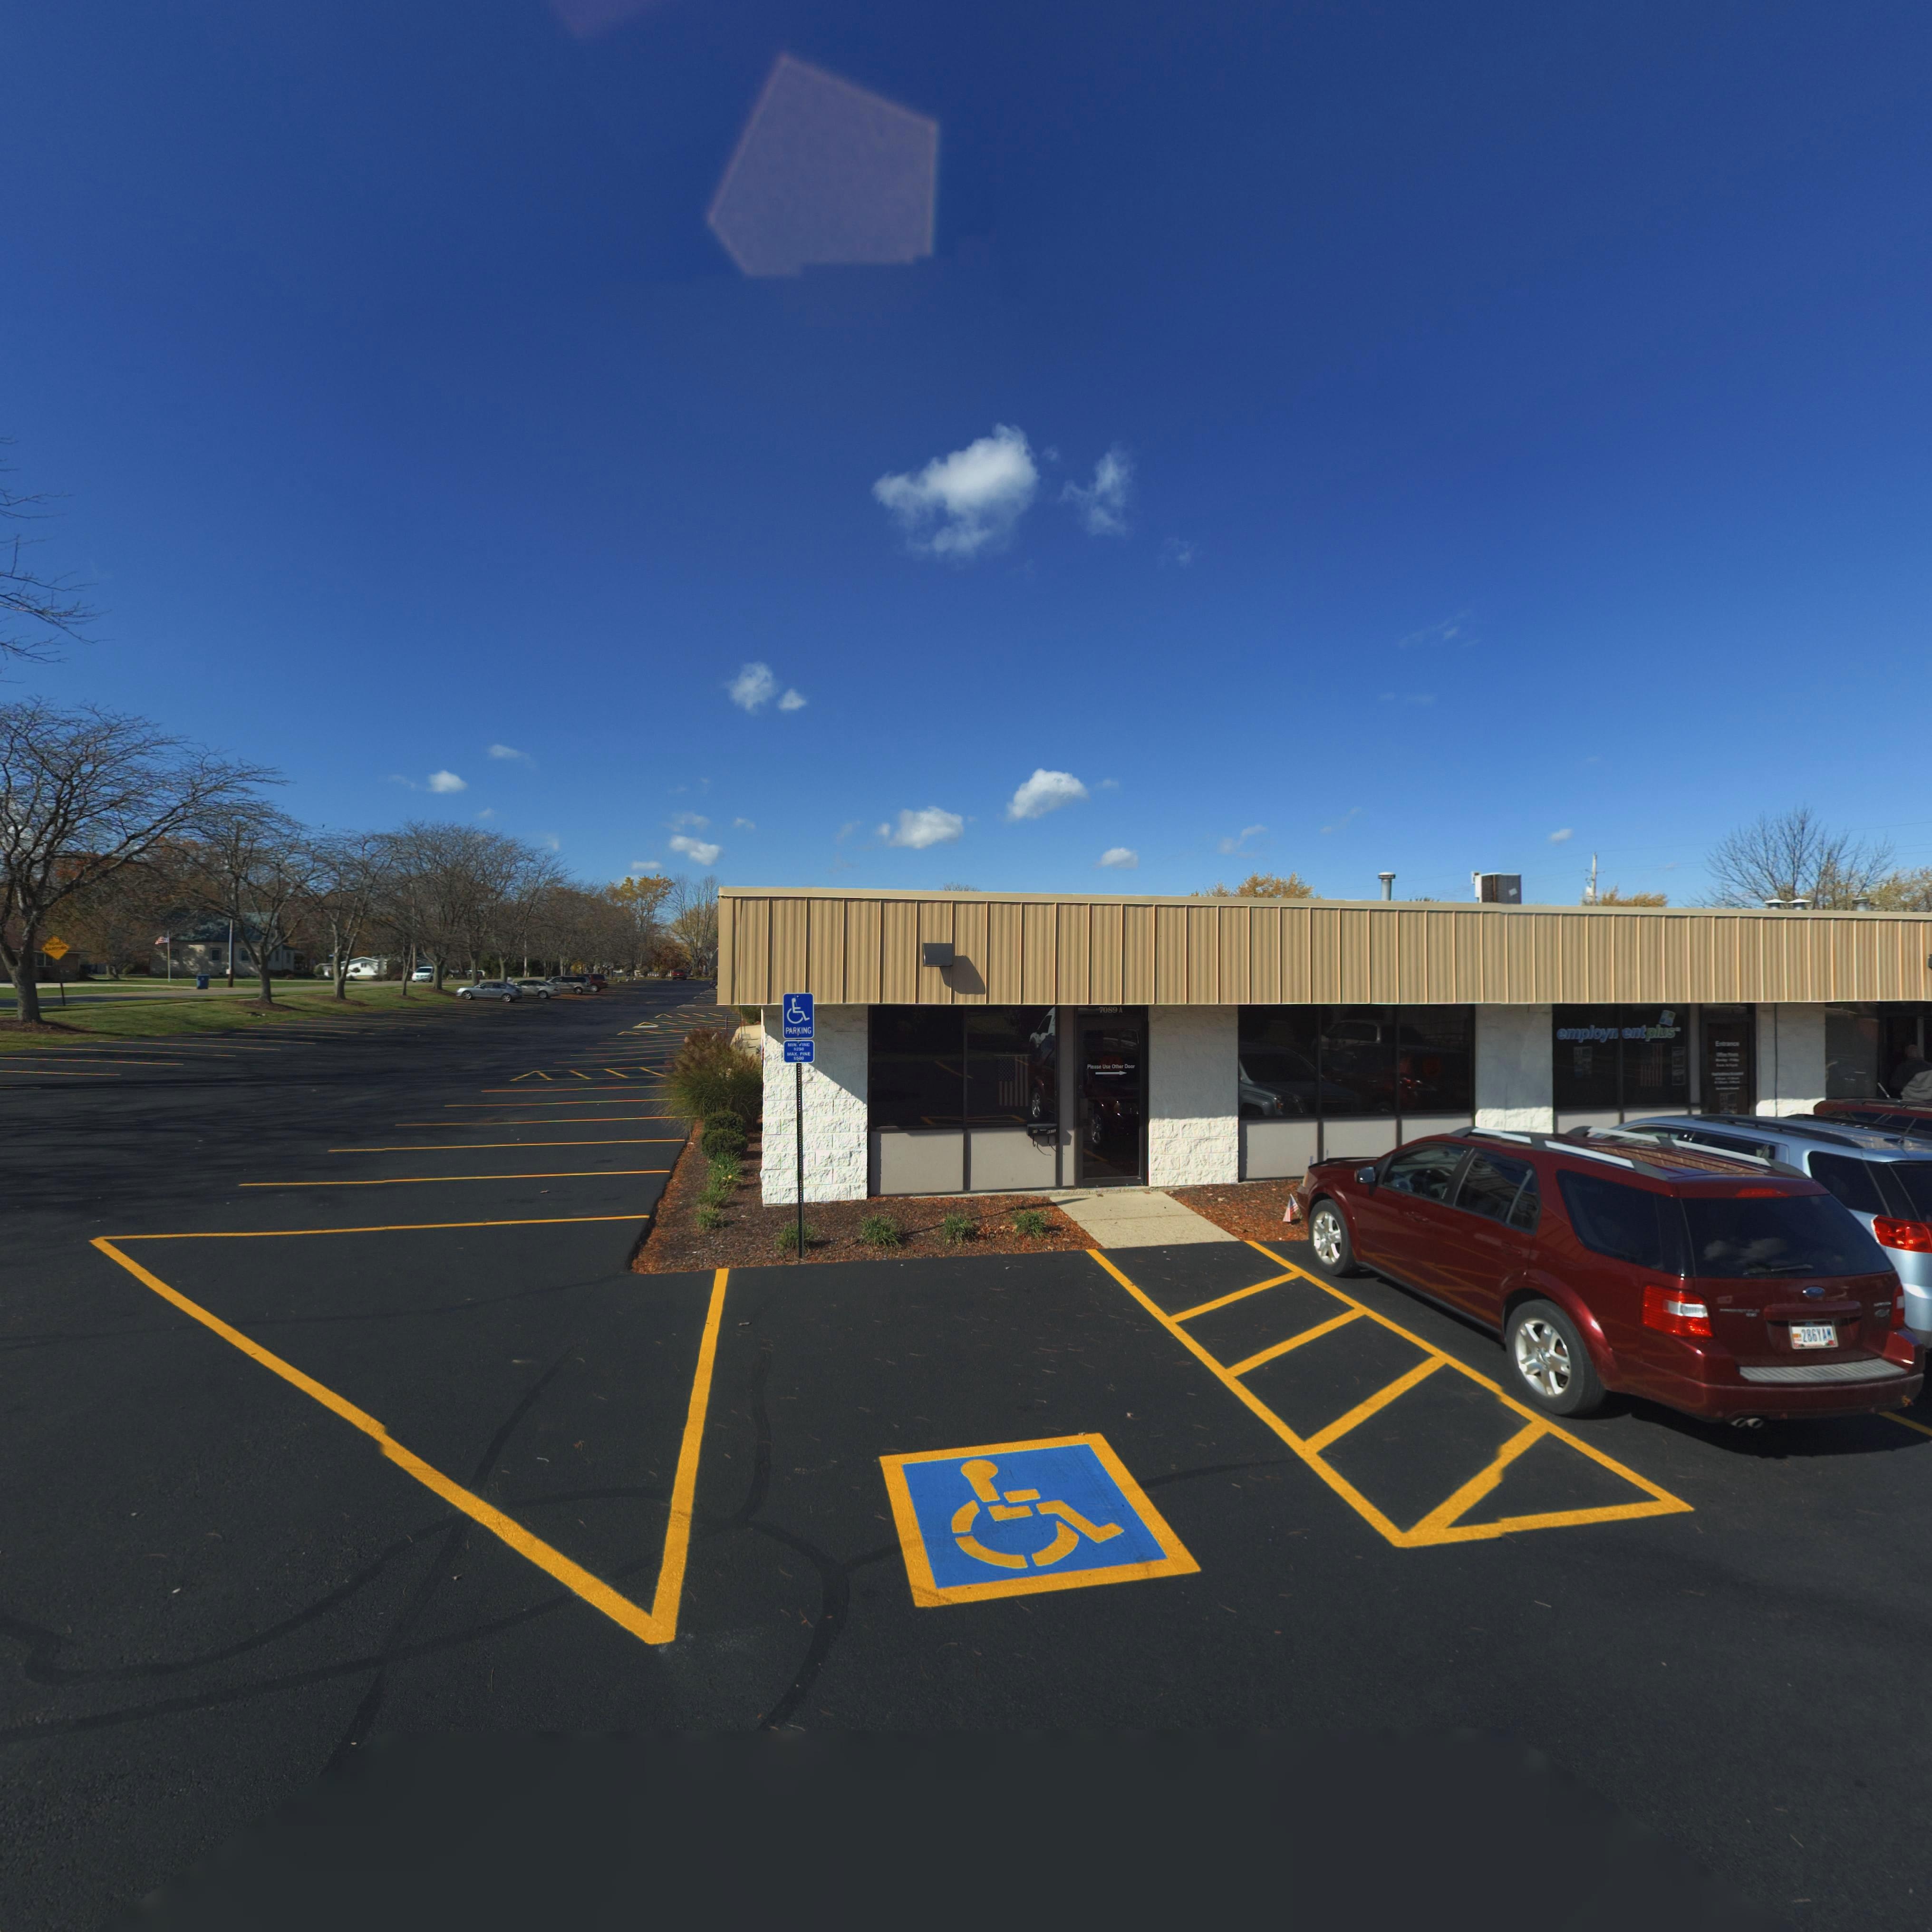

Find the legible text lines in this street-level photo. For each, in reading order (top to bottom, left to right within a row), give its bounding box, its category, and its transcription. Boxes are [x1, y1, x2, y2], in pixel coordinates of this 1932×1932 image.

[1098, 1005, 1124, 1014] StreetNumber: 7089 A